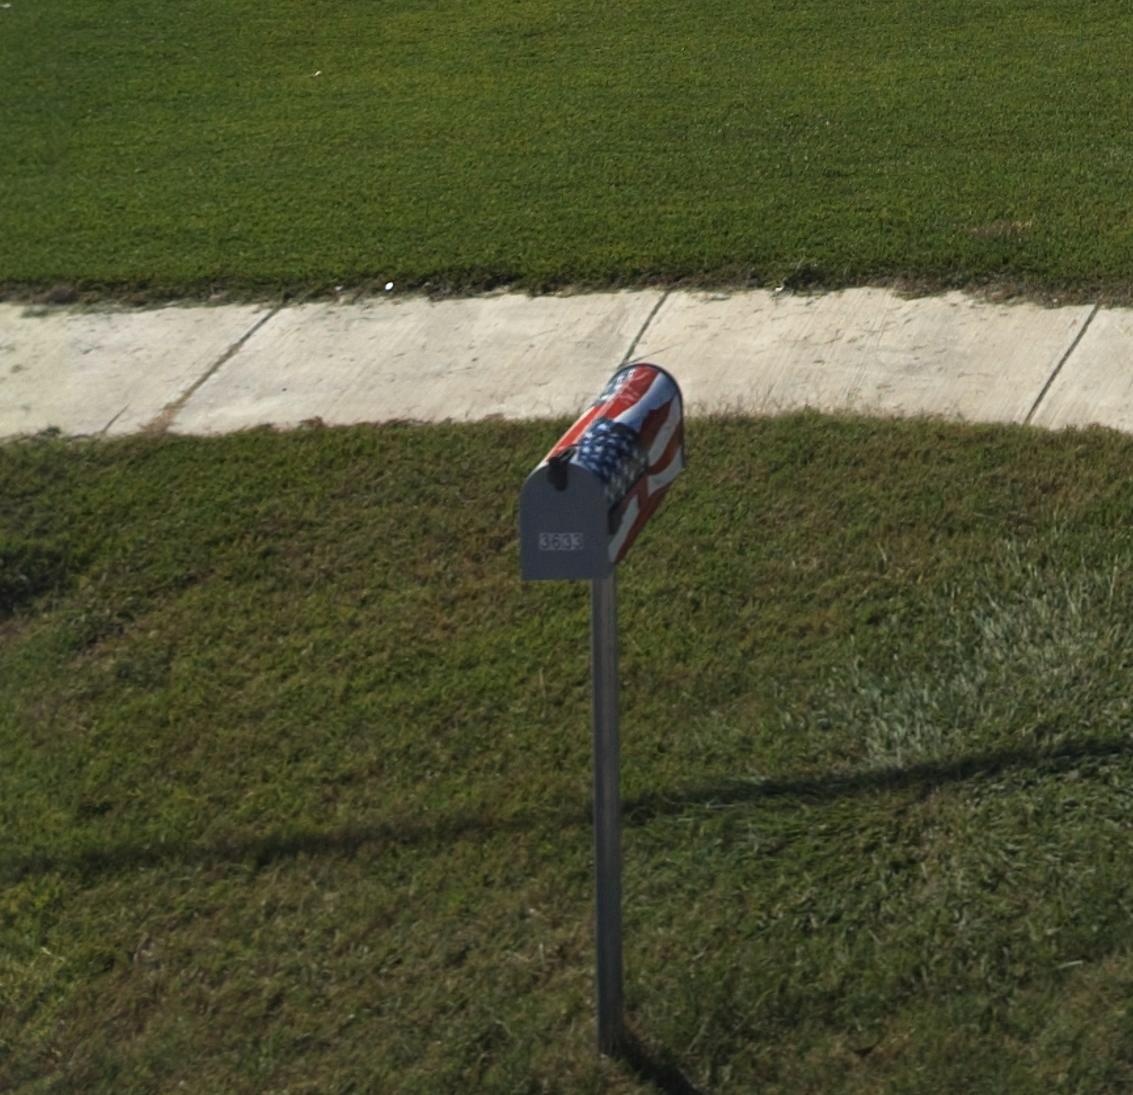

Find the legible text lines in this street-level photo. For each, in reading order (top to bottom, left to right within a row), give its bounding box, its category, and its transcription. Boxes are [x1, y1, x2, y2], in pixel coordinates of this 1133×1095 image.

[539, 530, 585, 553] StreetNumber: 3633